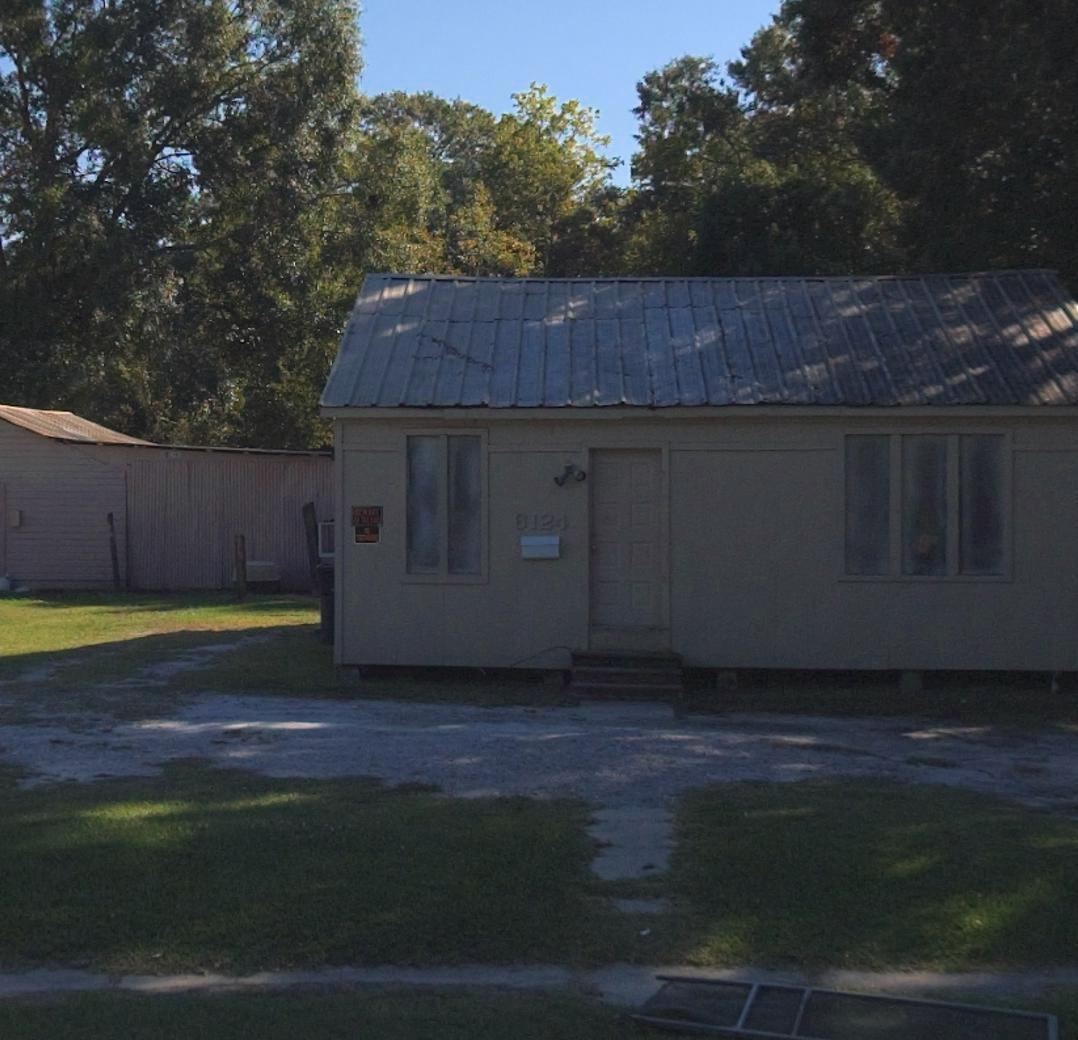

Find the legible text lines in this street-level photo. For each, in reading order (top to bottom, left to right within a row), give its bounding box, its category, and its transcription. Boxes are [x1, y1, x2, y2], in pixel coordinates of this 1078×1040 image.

[513, 512, 570, 531] StreetNumber: 6124